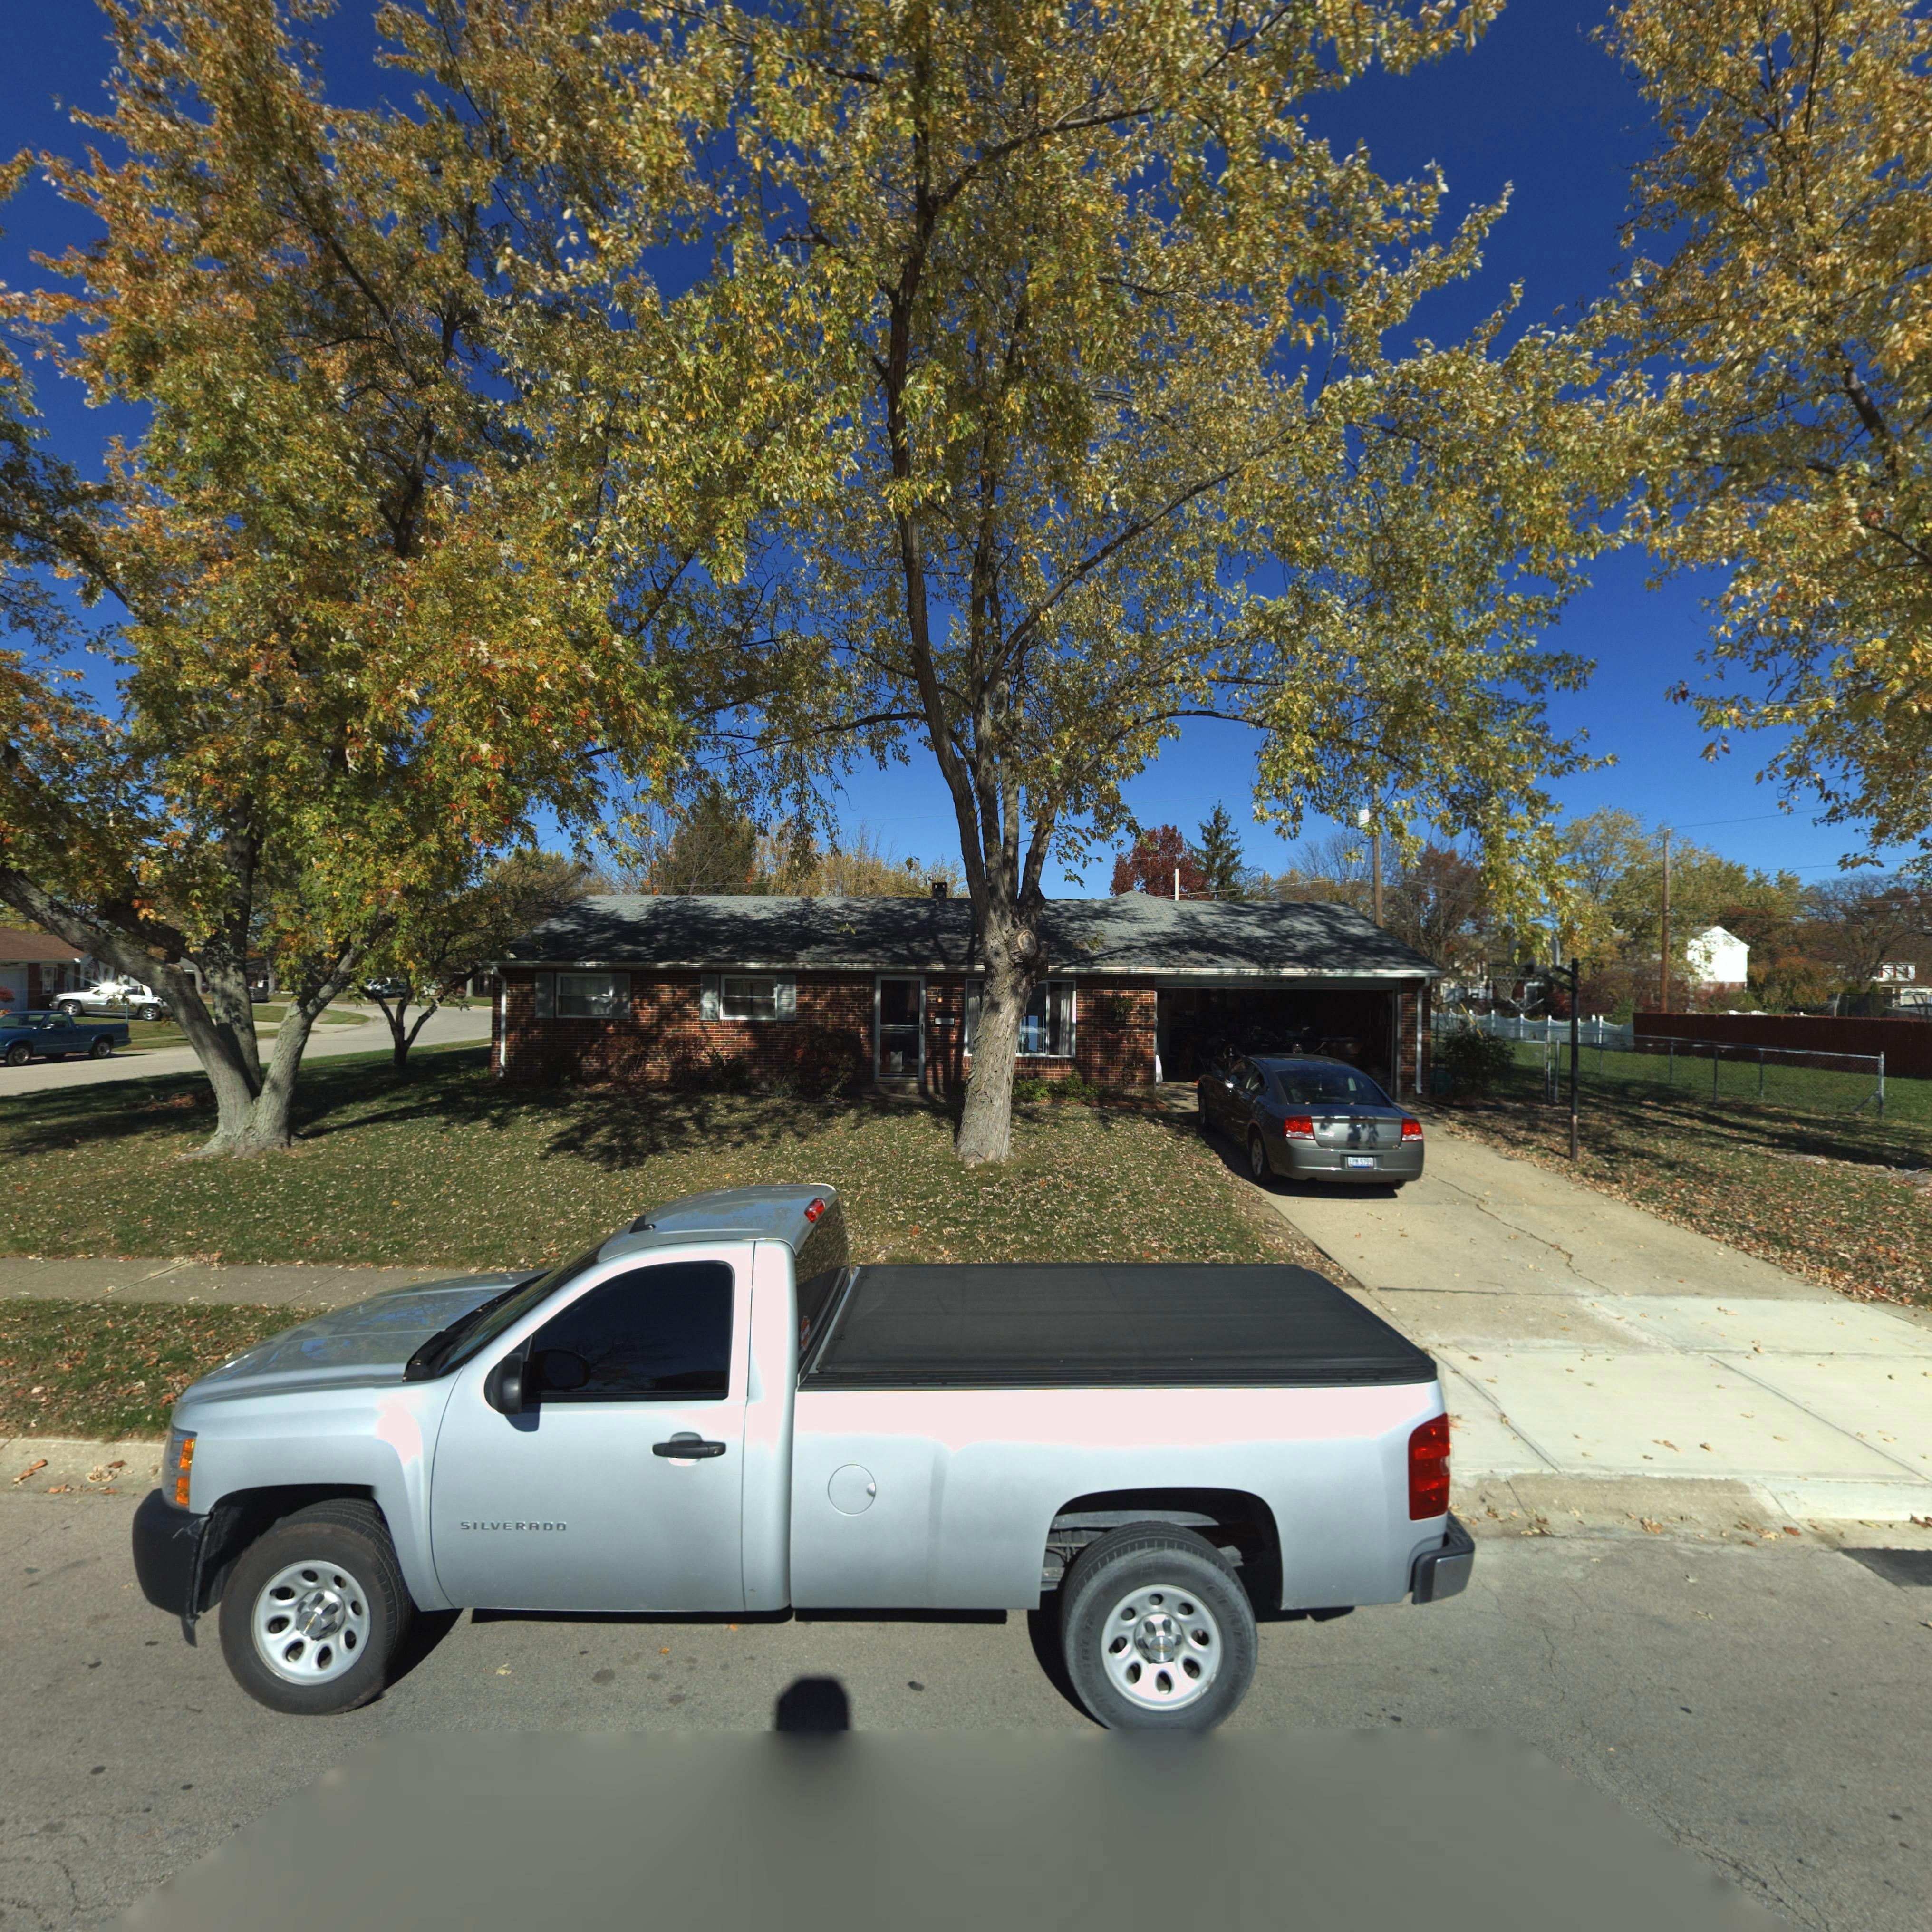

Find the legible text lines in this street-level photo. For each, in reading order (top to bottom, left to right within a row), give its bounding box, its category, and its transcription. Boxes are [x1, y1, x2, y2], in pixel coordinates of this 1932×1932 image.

[1260, 977, 1267, 983] StreetNumber: T
[1278, 979, 1285, 984] StreetNumber: y
[1285, 976, 1300, 985] StreetNumber: Eight